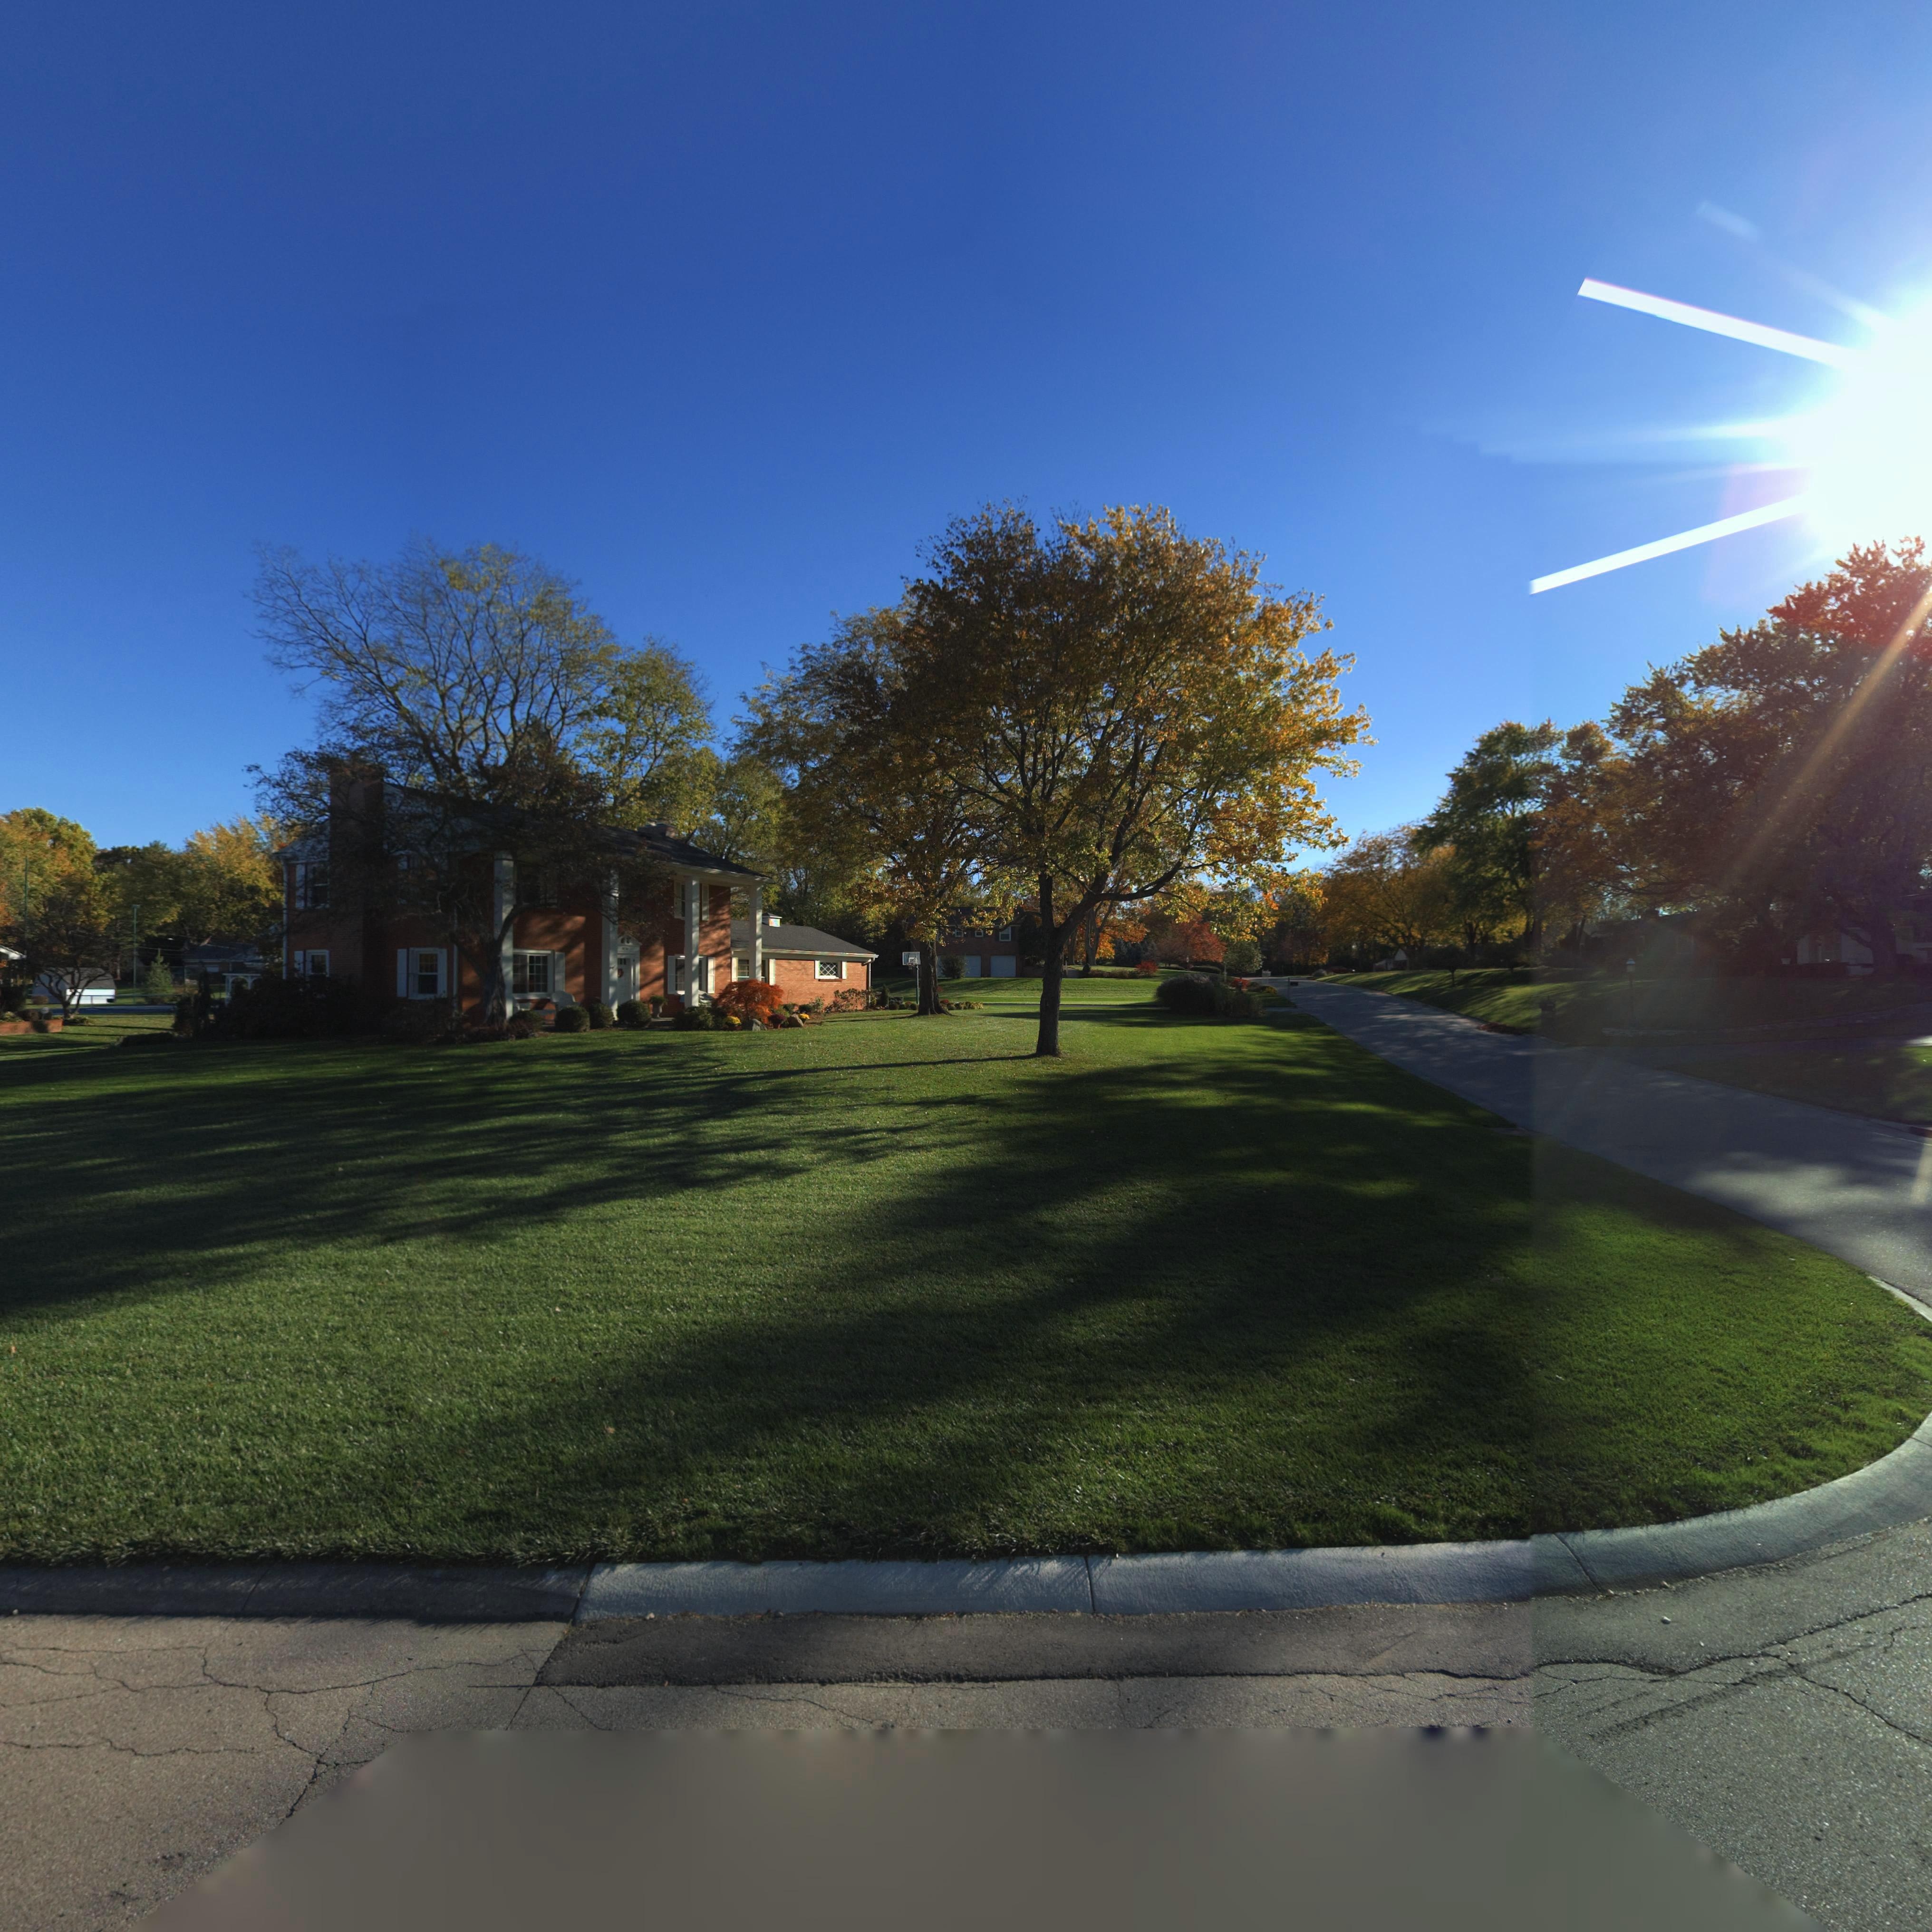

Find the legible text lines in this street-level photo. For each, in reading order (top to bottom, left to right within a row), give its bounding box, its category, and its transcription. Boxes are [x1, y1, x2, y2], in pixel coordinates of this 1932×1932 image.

[621, 947, 628, 951] StreetNumber: 5830